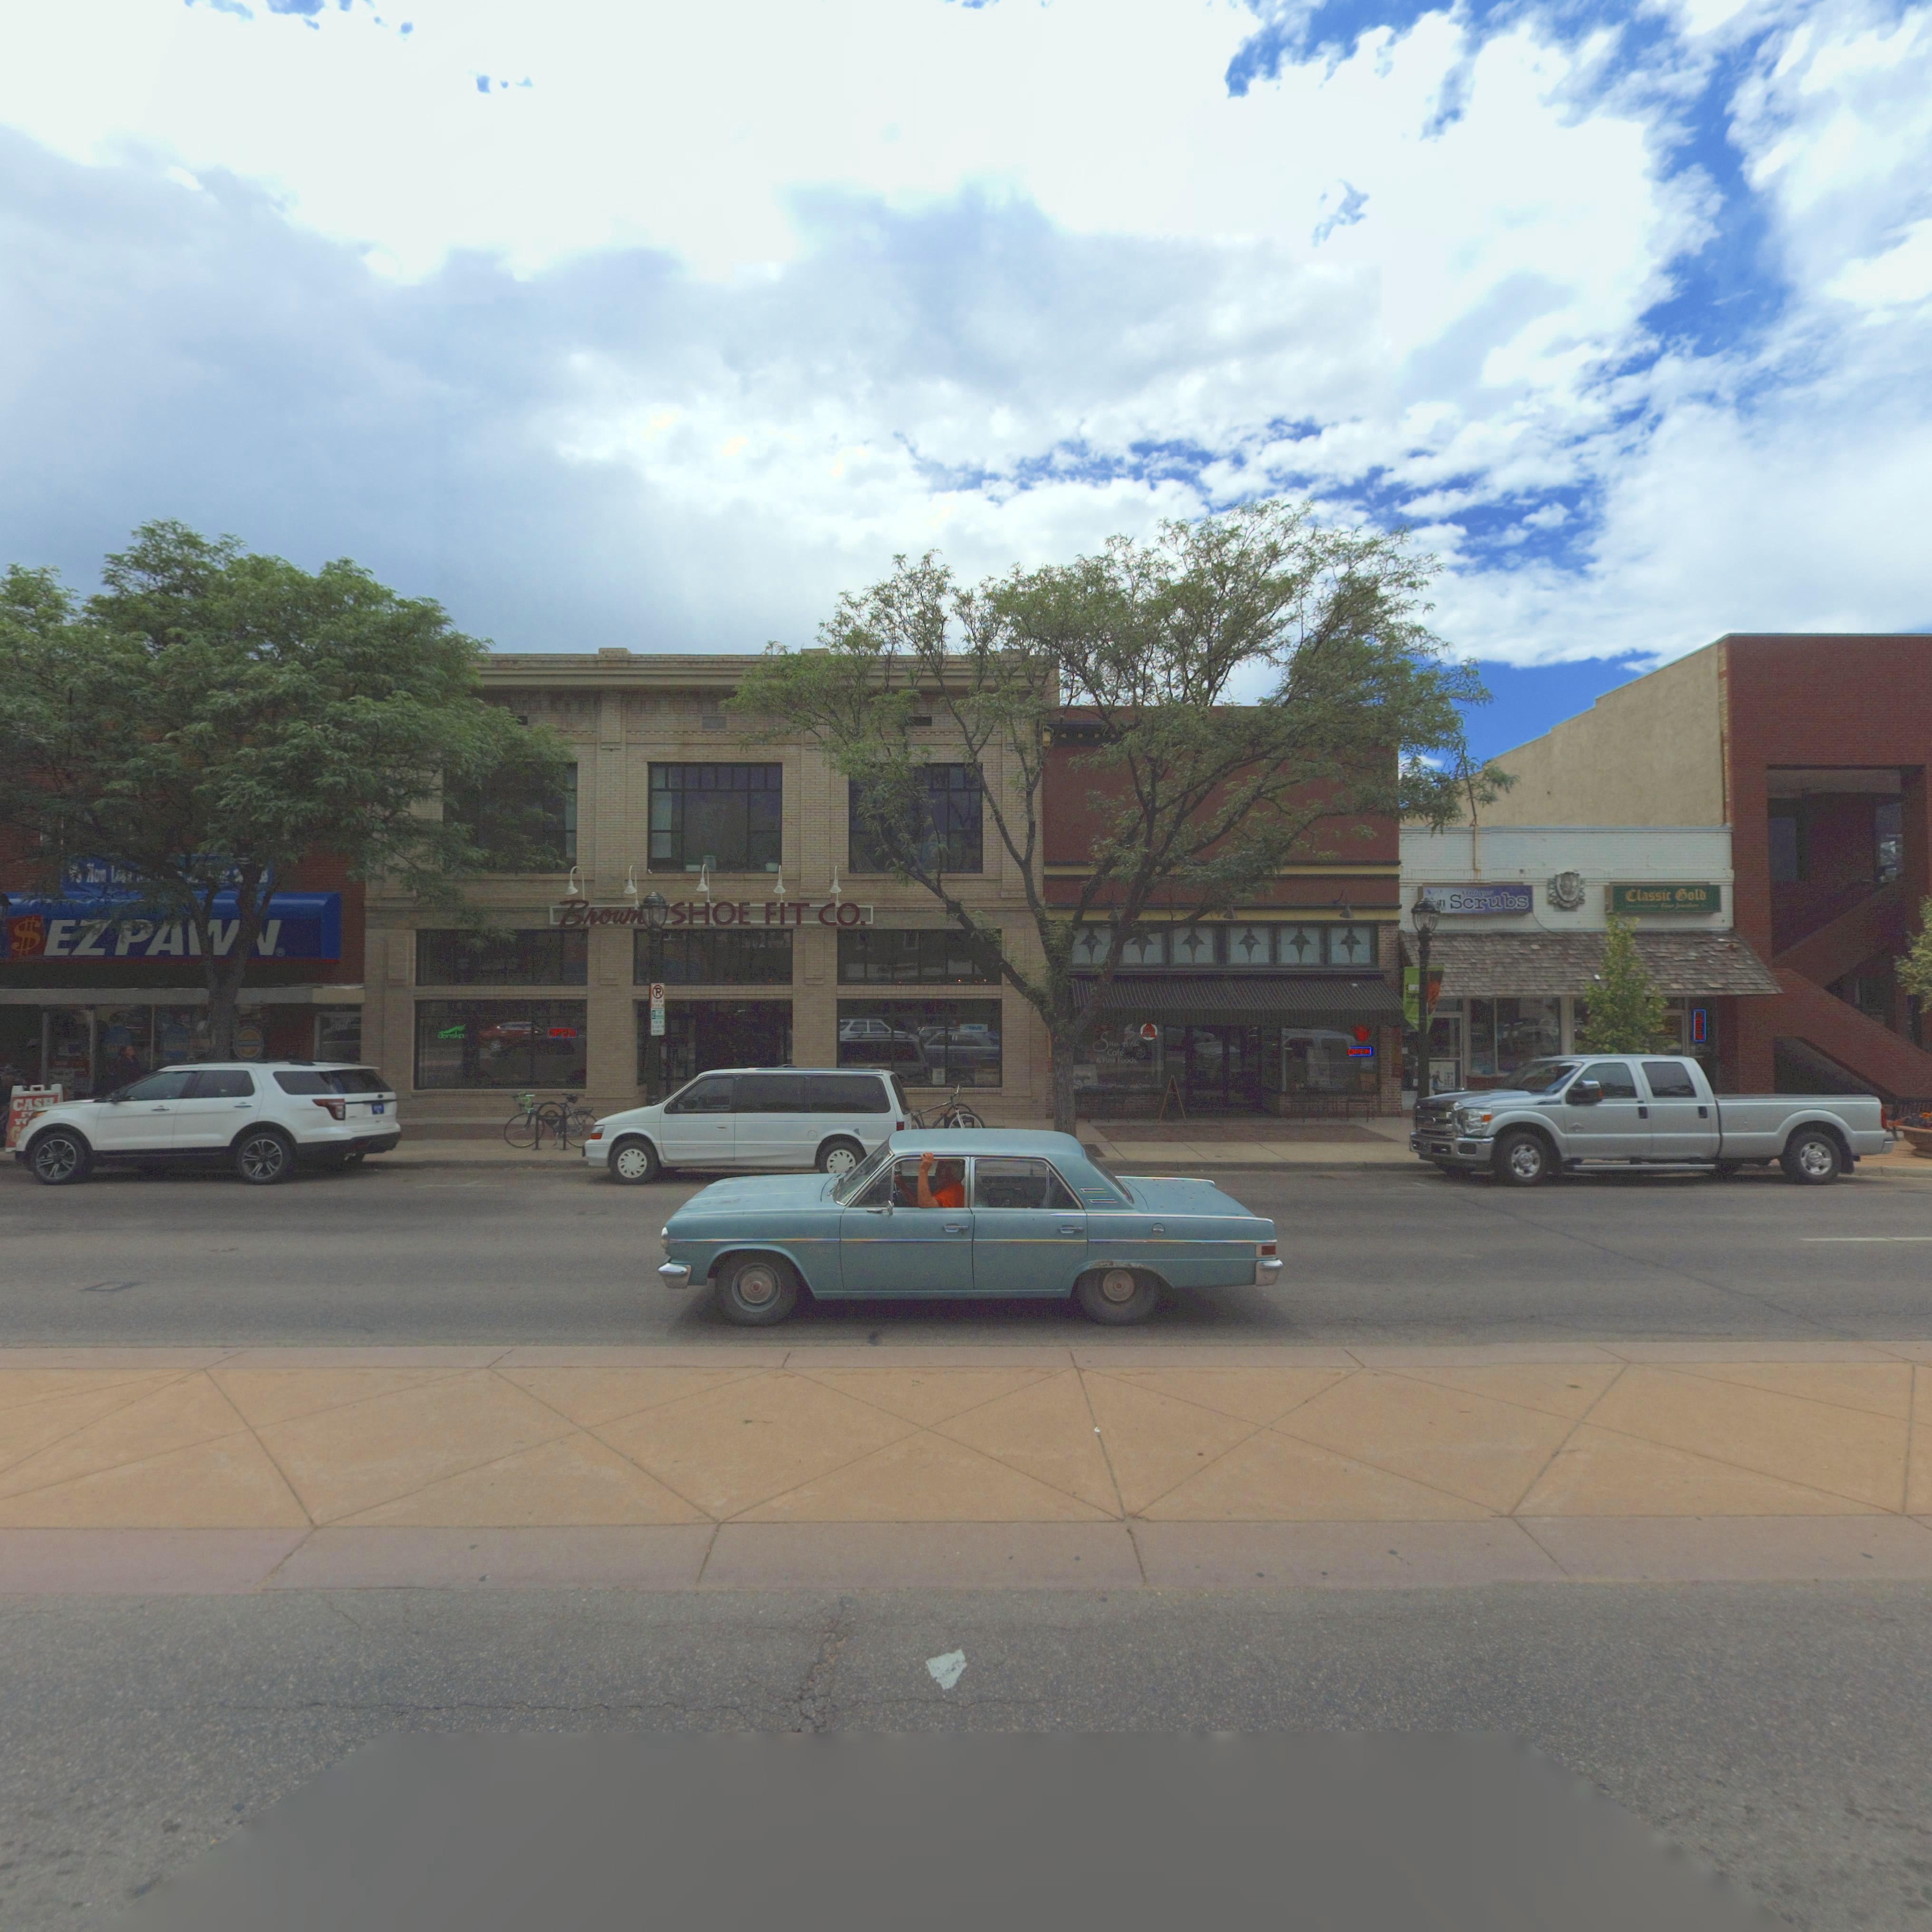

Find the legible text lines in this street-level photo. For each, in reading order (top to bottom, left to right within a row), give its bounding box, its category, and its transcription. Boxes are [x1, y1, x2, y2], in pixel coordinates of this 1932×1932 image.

[1449, 892, 1528, 910] BusinessName: Scrubs
[1624, 888, 1707, 902] BusinessName: Classic Gold
[556, 898, 866, 929] BusinessName: Brown's SHOE FIT CO.
[43, 918, 283, 956] BusinessName: EZ PAW*
[1091, 1029, 1141, 1052] BusinessName: S** Rose